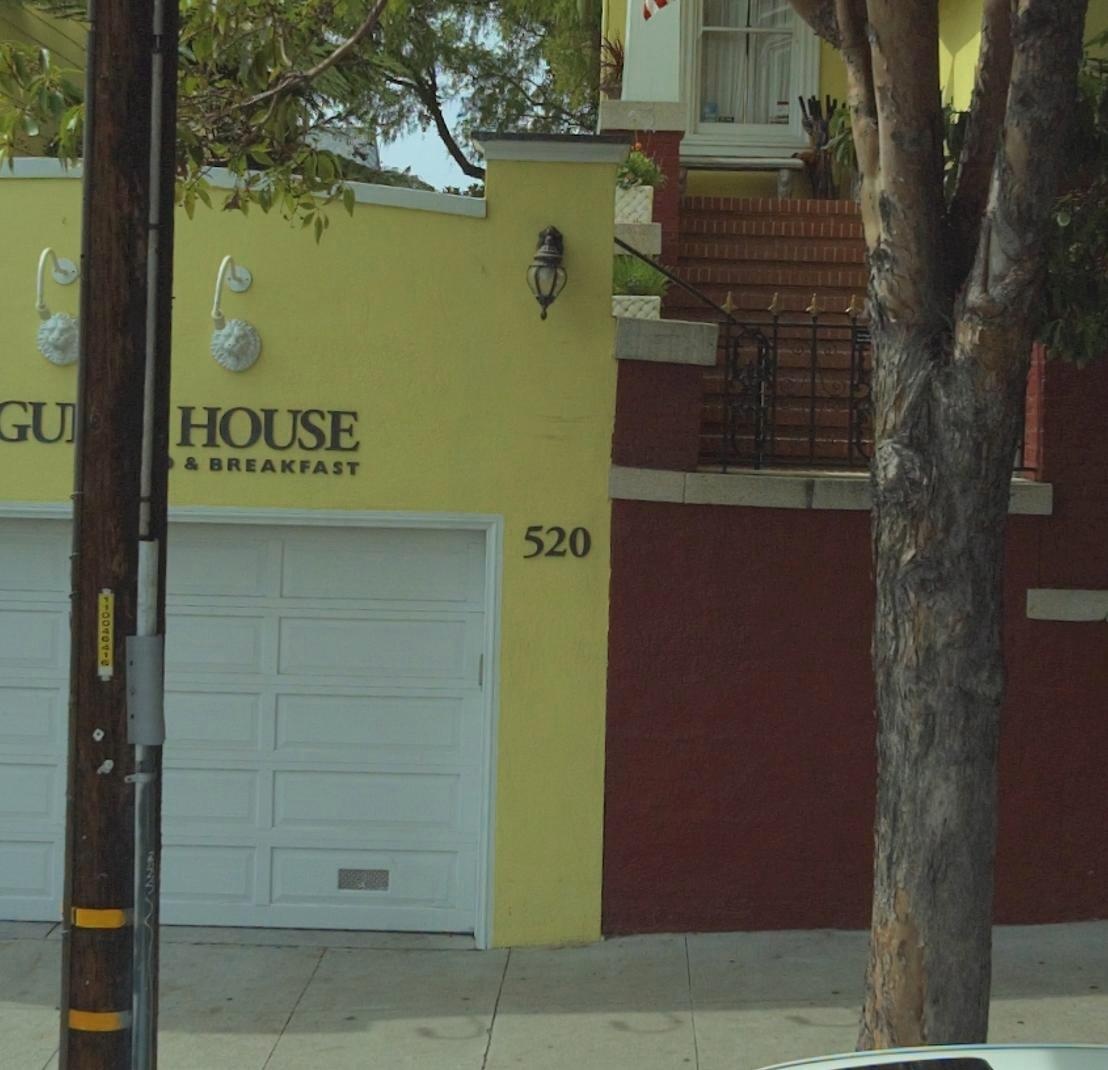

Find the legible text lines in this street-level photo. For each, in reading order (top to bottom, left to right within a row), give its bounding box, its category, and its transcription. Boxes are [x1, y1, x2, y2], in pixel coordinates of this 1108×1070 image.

[0, 398, 76, 446] BusinessName: *U
[175, 404, 361, 454] BusinessName: HOUSE
[208, 456, 361, 477] None: BREAKFAST
[521, 524, 593, 560] StreetNumber: 520
[98, 594, 113, 667] None: 110046416